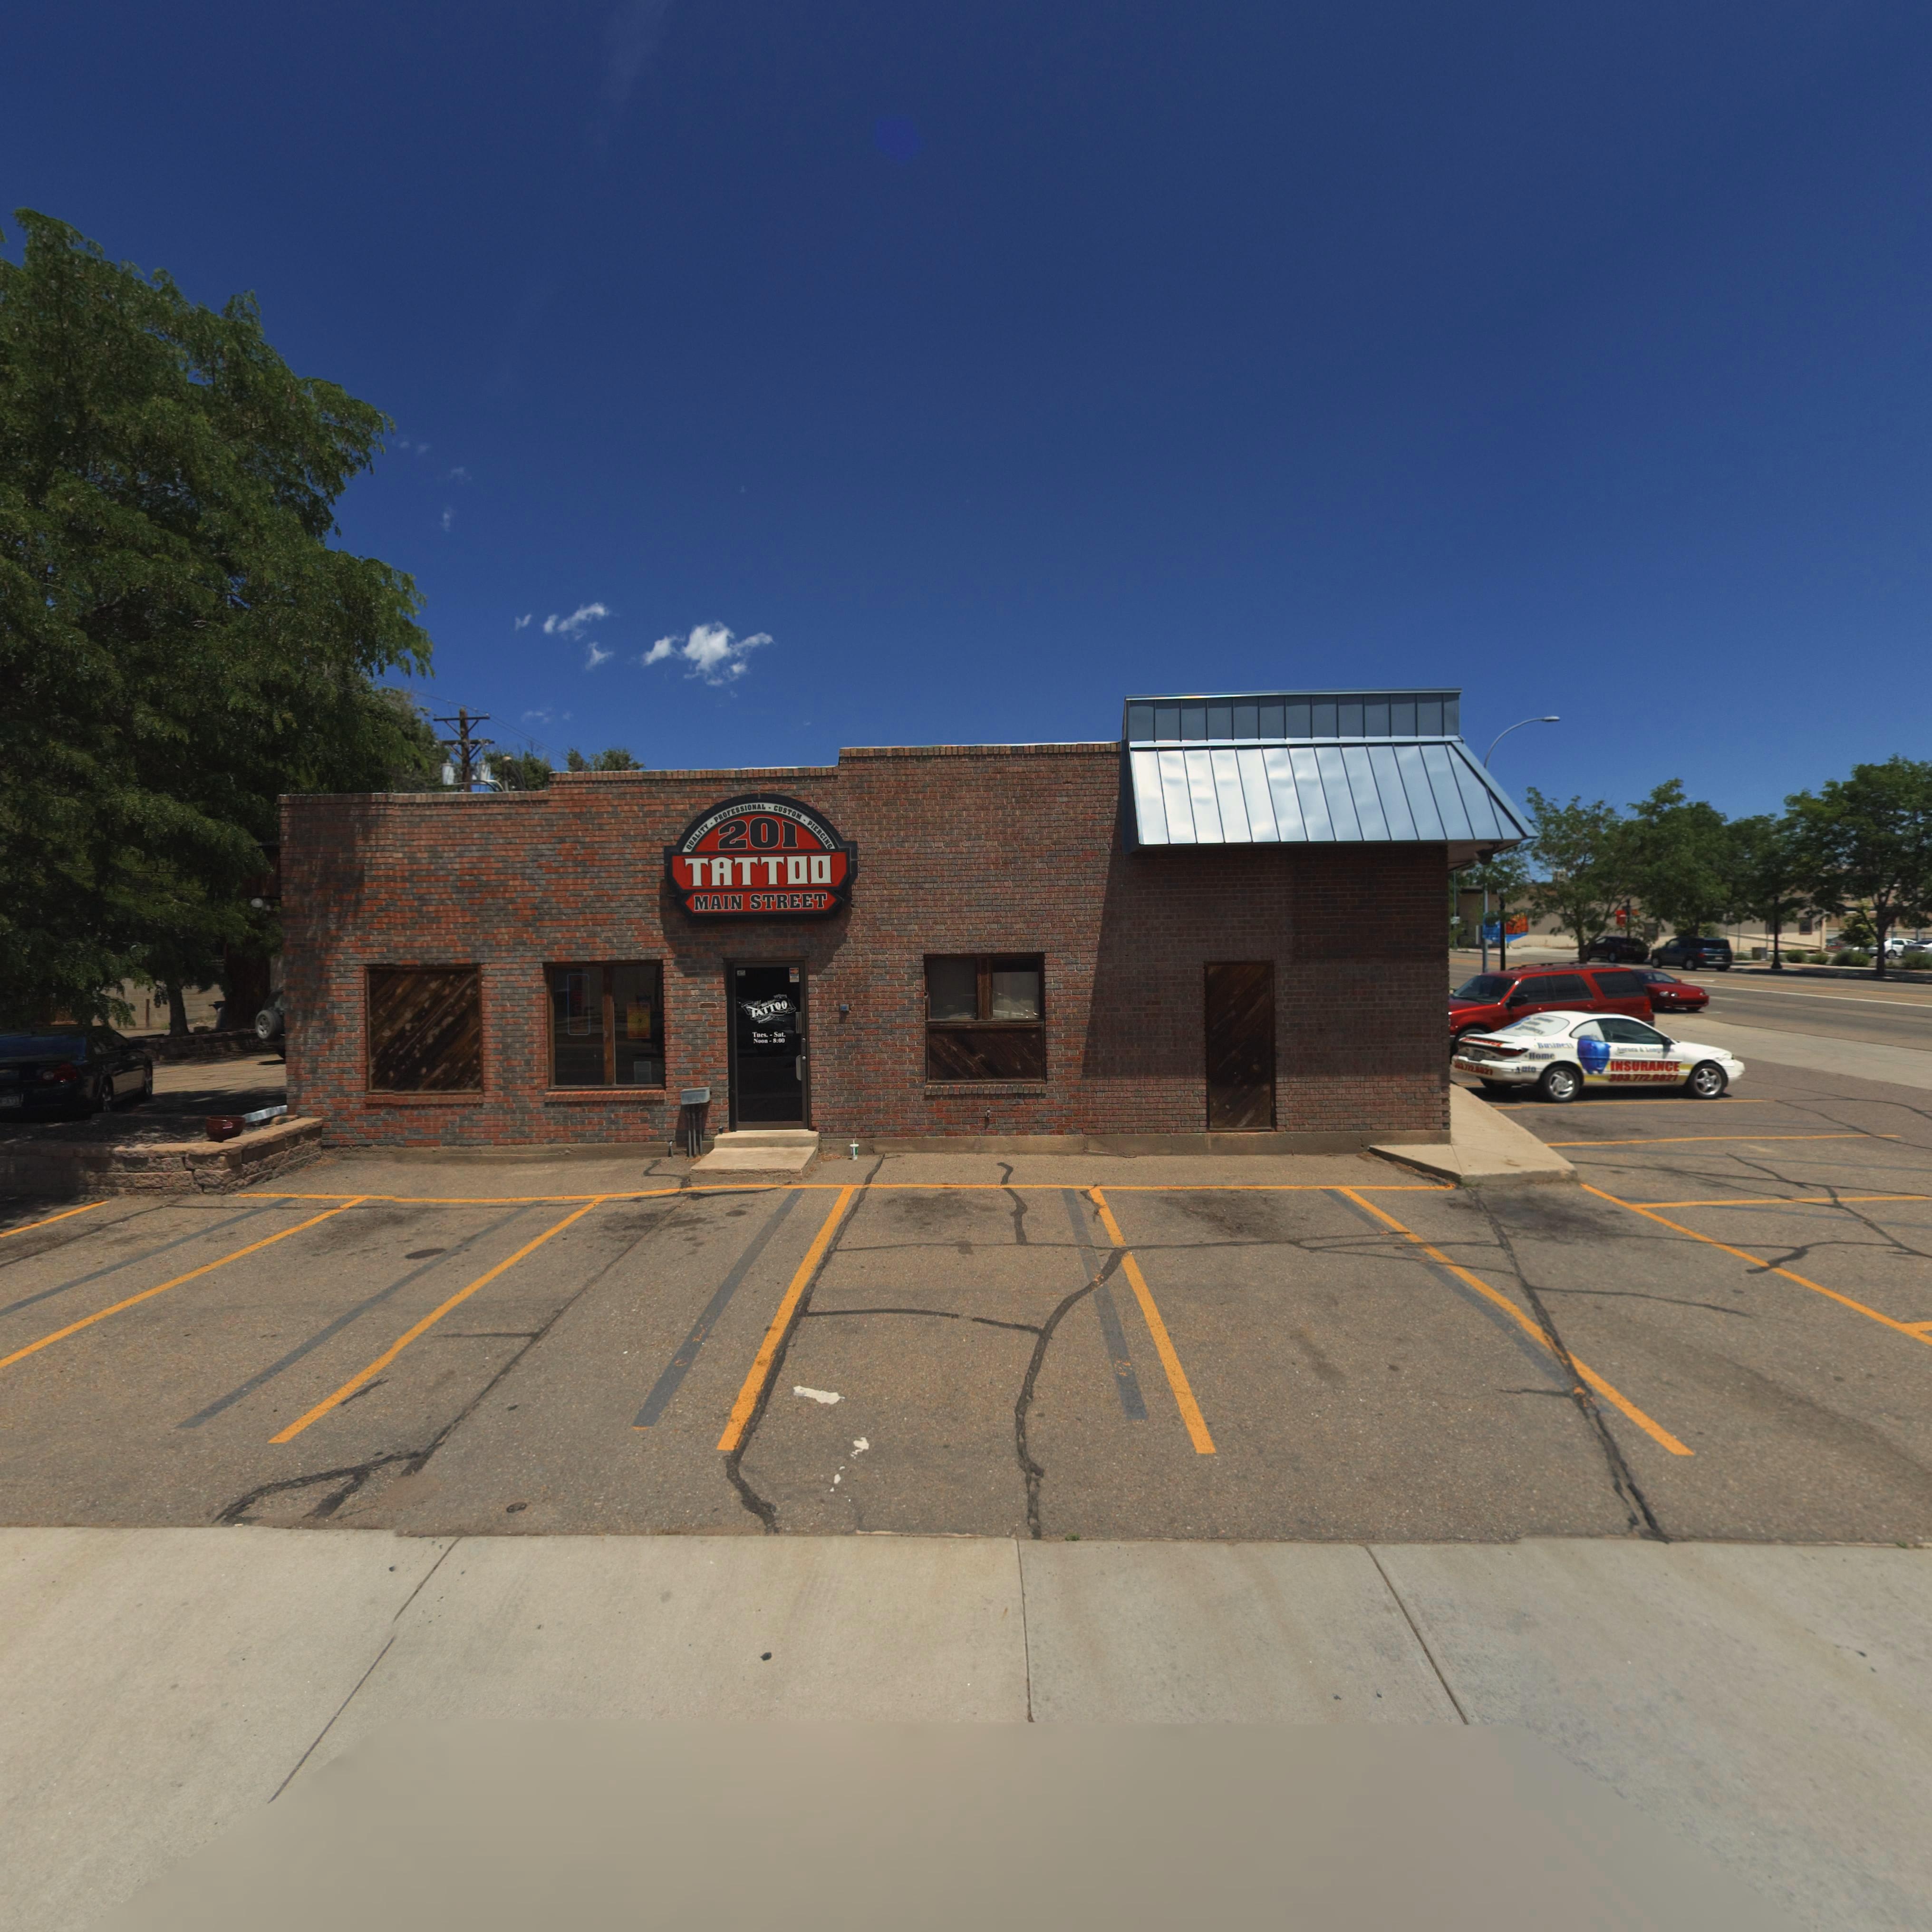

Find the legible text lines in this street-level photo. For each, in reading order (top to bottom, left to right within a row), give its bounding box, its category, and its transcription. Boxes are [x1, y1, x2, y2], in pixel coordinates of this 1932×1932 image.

[717, 816, 799, 850] StreetNumber: 201
[684, 853, 833, 887] BusinessName: TATTOO
[694, 892, 827, 910] BusinessName: MAIN STREET